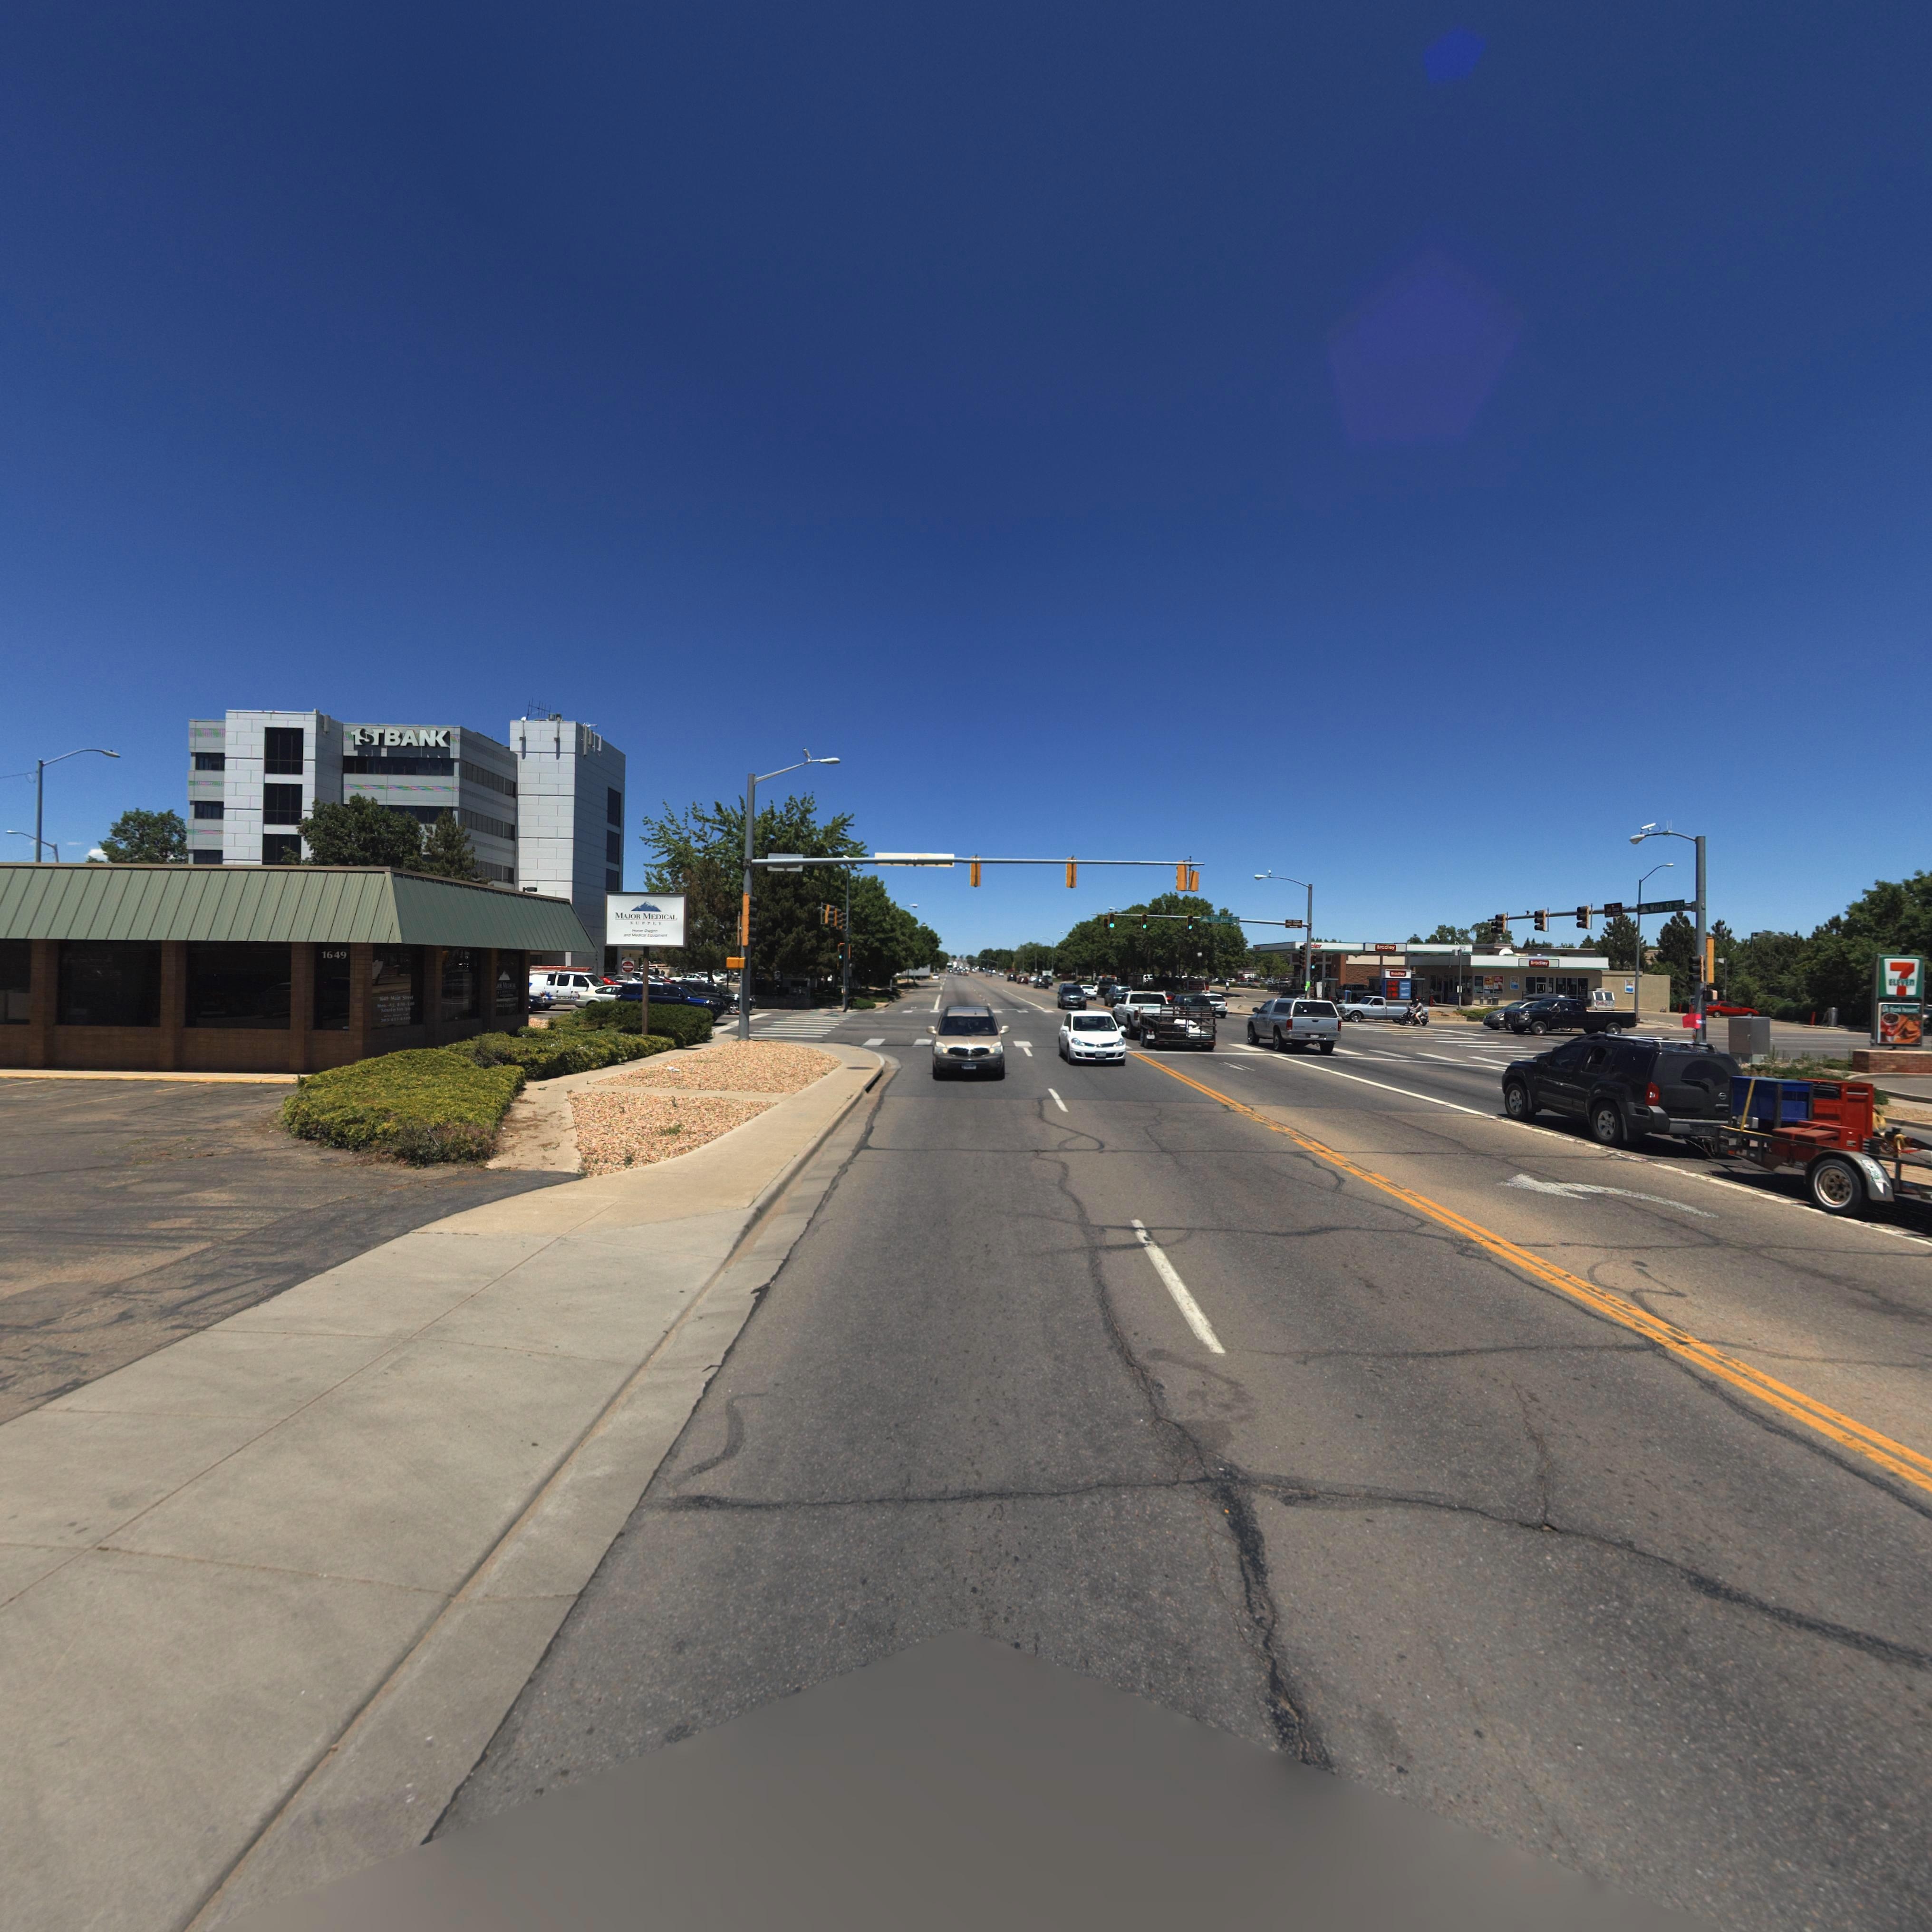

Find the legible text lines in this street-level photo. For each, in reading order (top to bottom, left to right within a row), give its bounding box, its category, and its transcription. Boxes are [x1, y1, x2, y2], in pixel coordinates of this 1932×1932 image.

[350, 727, 450, 747] BusinessName: 1S*BA*K
[1649, 902, 1672, 912] StreetName: Main St
[614, 911, 677, 920] BusinessName: MAJOR MEDICAL
[1210, 917, 1228, 922] StreetName: 17th Ave
[629, 921, 662, 925] BusinessName: SUPPLY
[1254, 945, 1261, 950] BusinessName: S******r
[1303, 942, 1322, 948] BusinessName: ***cla*r
[1377, 944, 1395, 950] BusinessName: Brad*ey
[321, 950, 347, 959] StreetNumber: 1649
[1530, 960, 1548, 966] BusinessName: B**dl*y
[1391, 971, 1405, 976] BusinessName: B*****y
[496, 982, 517, 989] BusinessName: ****R MEDIC*L
[1193, 981, 1203, 985] BusinessName: C*******
[1889, 978, 1914, 986] BusinessName: ELEVEN
[497, 990, 510, 994] BusinessName: S*****
[379, 995, 388, 1001] StreetNumber: **49
[390, 995, 414, 1000] StreetName: M*in S***et